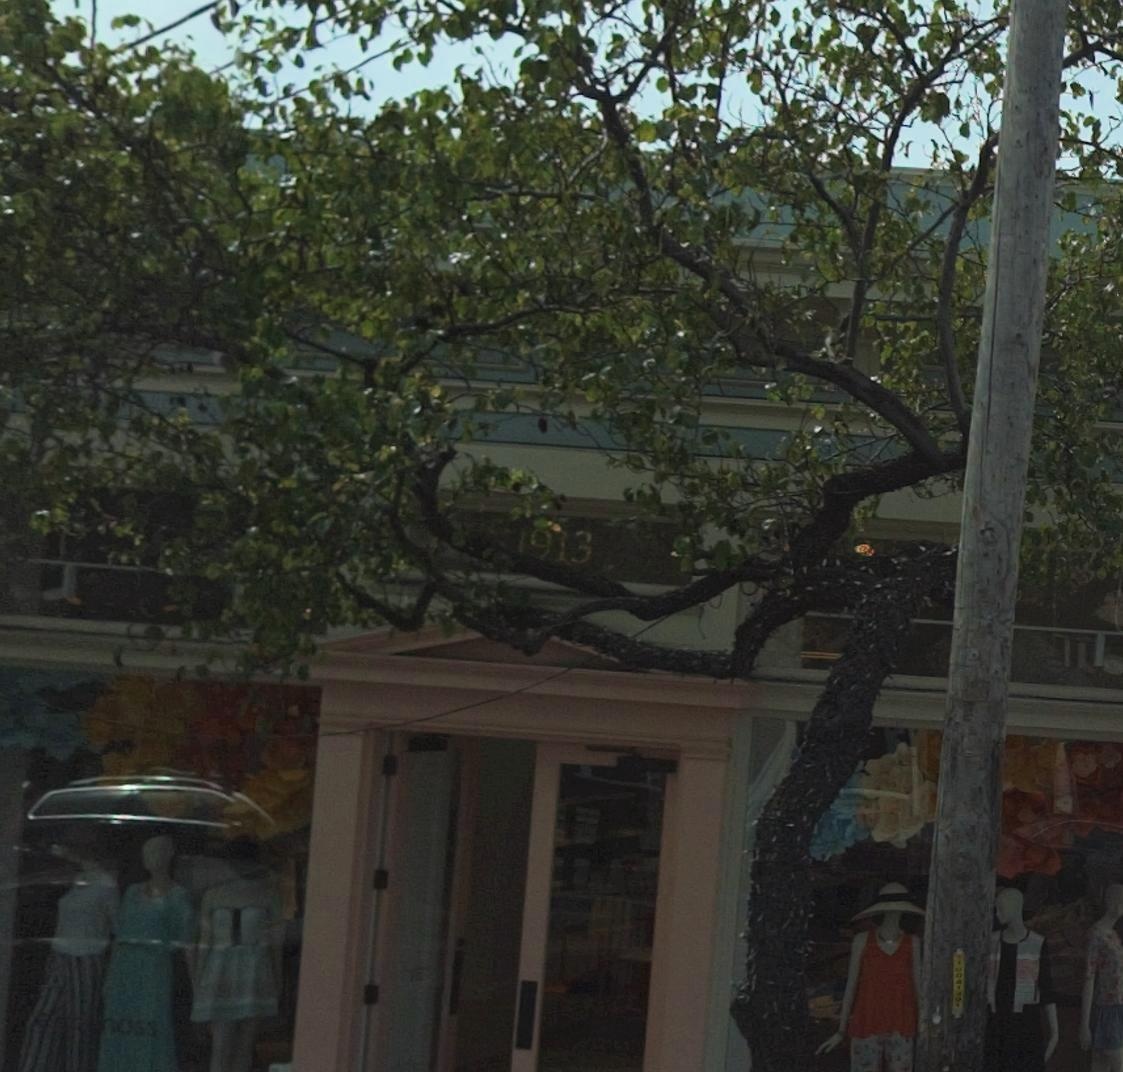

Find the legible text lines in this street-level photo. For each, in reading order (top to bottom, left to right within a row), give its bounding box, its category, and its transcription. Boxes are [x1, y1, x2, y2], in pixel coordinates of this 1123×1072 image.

[509, 523, 598, 569] StreetNumber: *913
[953, 952, 965, 993] None: *10041